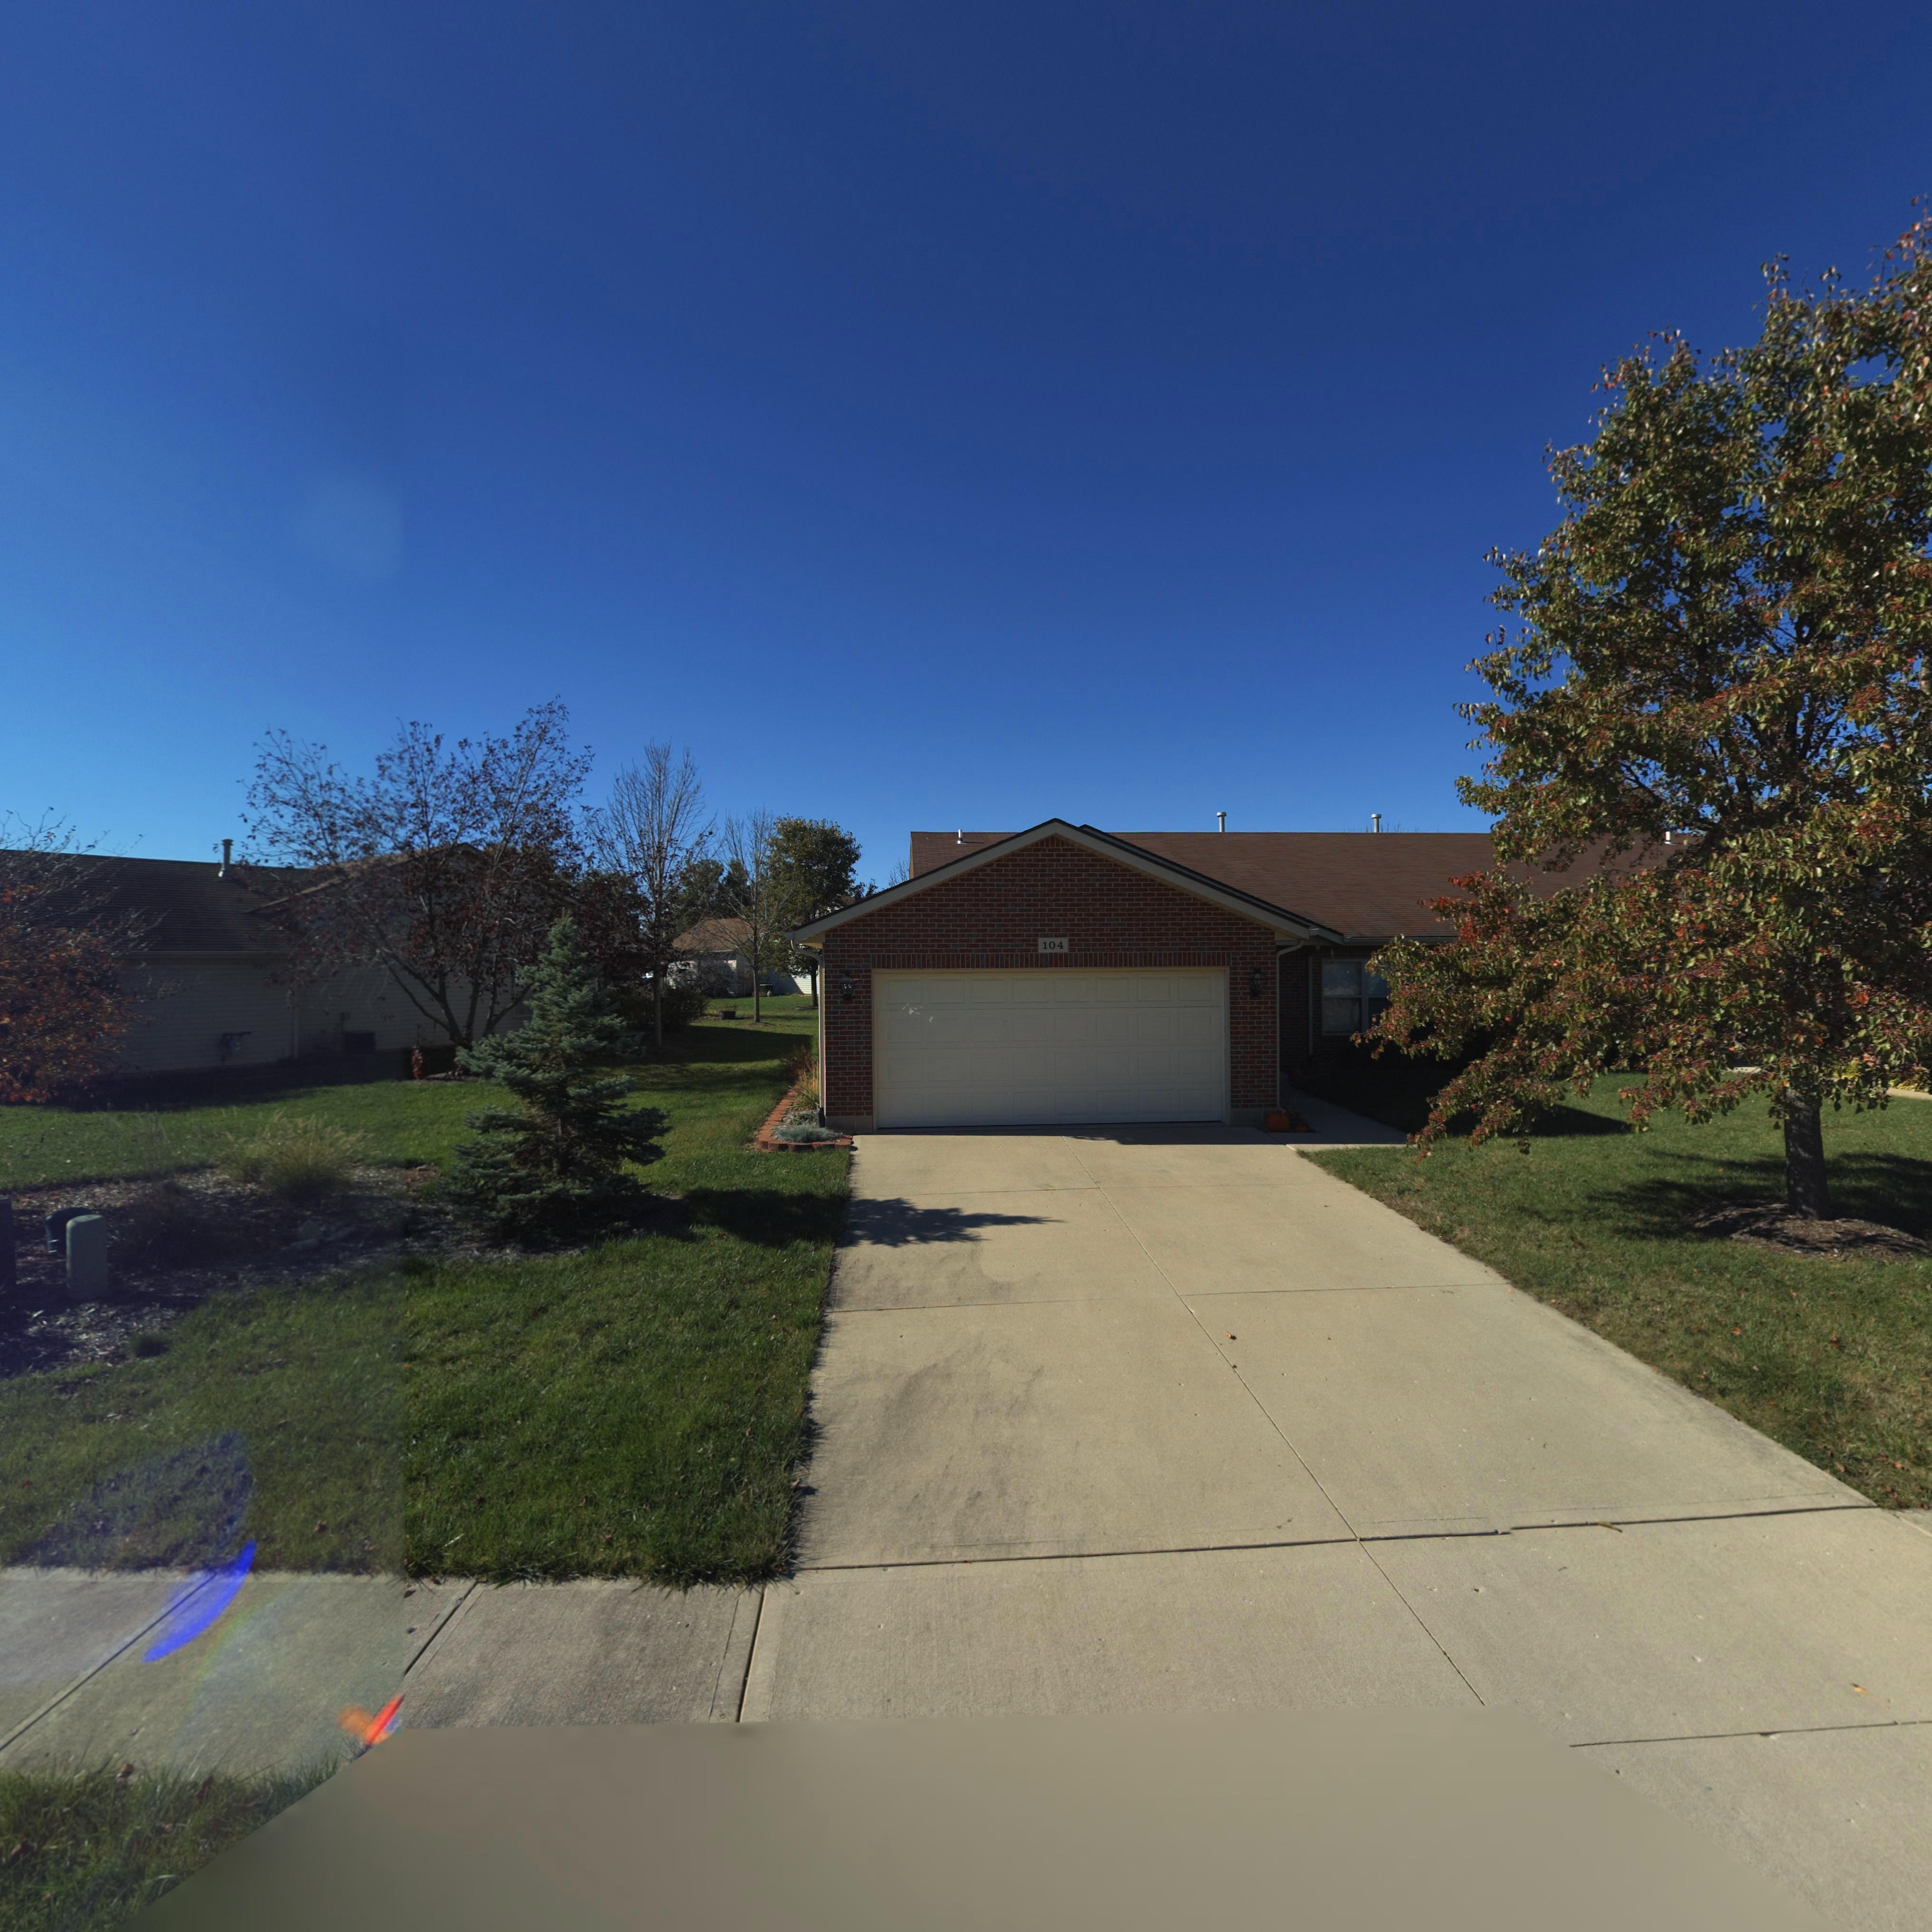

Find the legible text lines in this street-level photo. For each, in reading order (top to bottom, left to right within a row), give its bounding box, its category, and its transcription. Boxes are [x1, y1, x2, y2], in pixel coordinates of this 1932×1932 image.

[1042, 941, 1064, 950] StreetNumber: 104